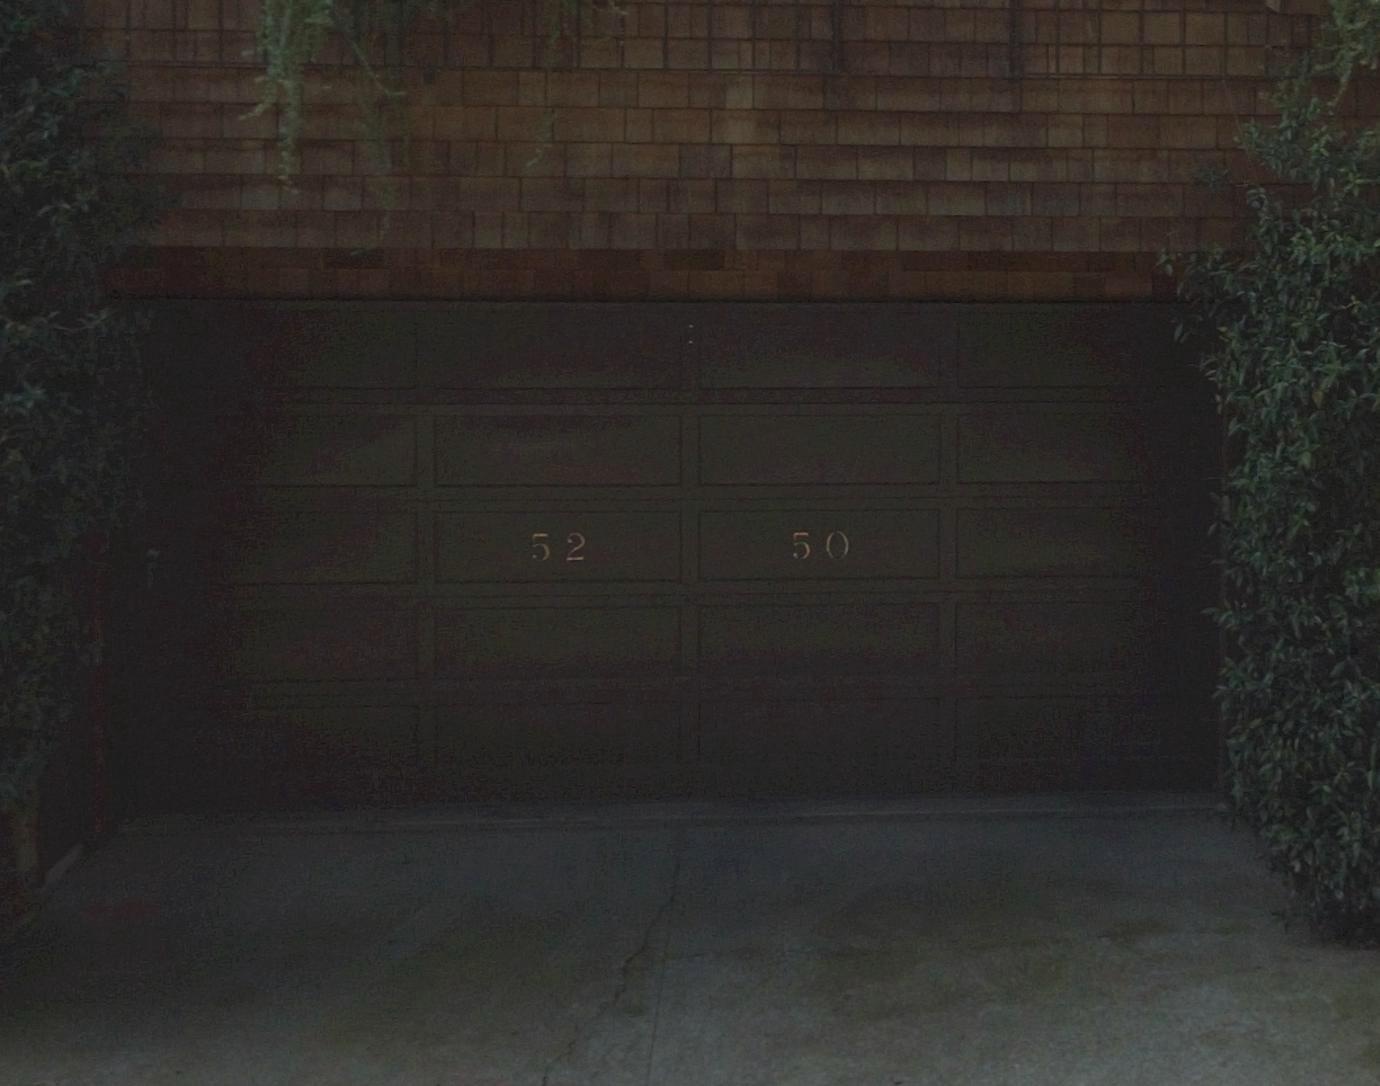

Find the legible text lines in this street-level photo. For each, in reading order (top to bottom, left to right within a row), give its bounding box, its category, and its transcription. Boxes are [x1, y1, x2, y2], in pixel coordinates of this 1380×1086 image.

[530, 530, 590, 563] StreetNumber: 52
[791, 529, 851, 561] StreetNumber: 50